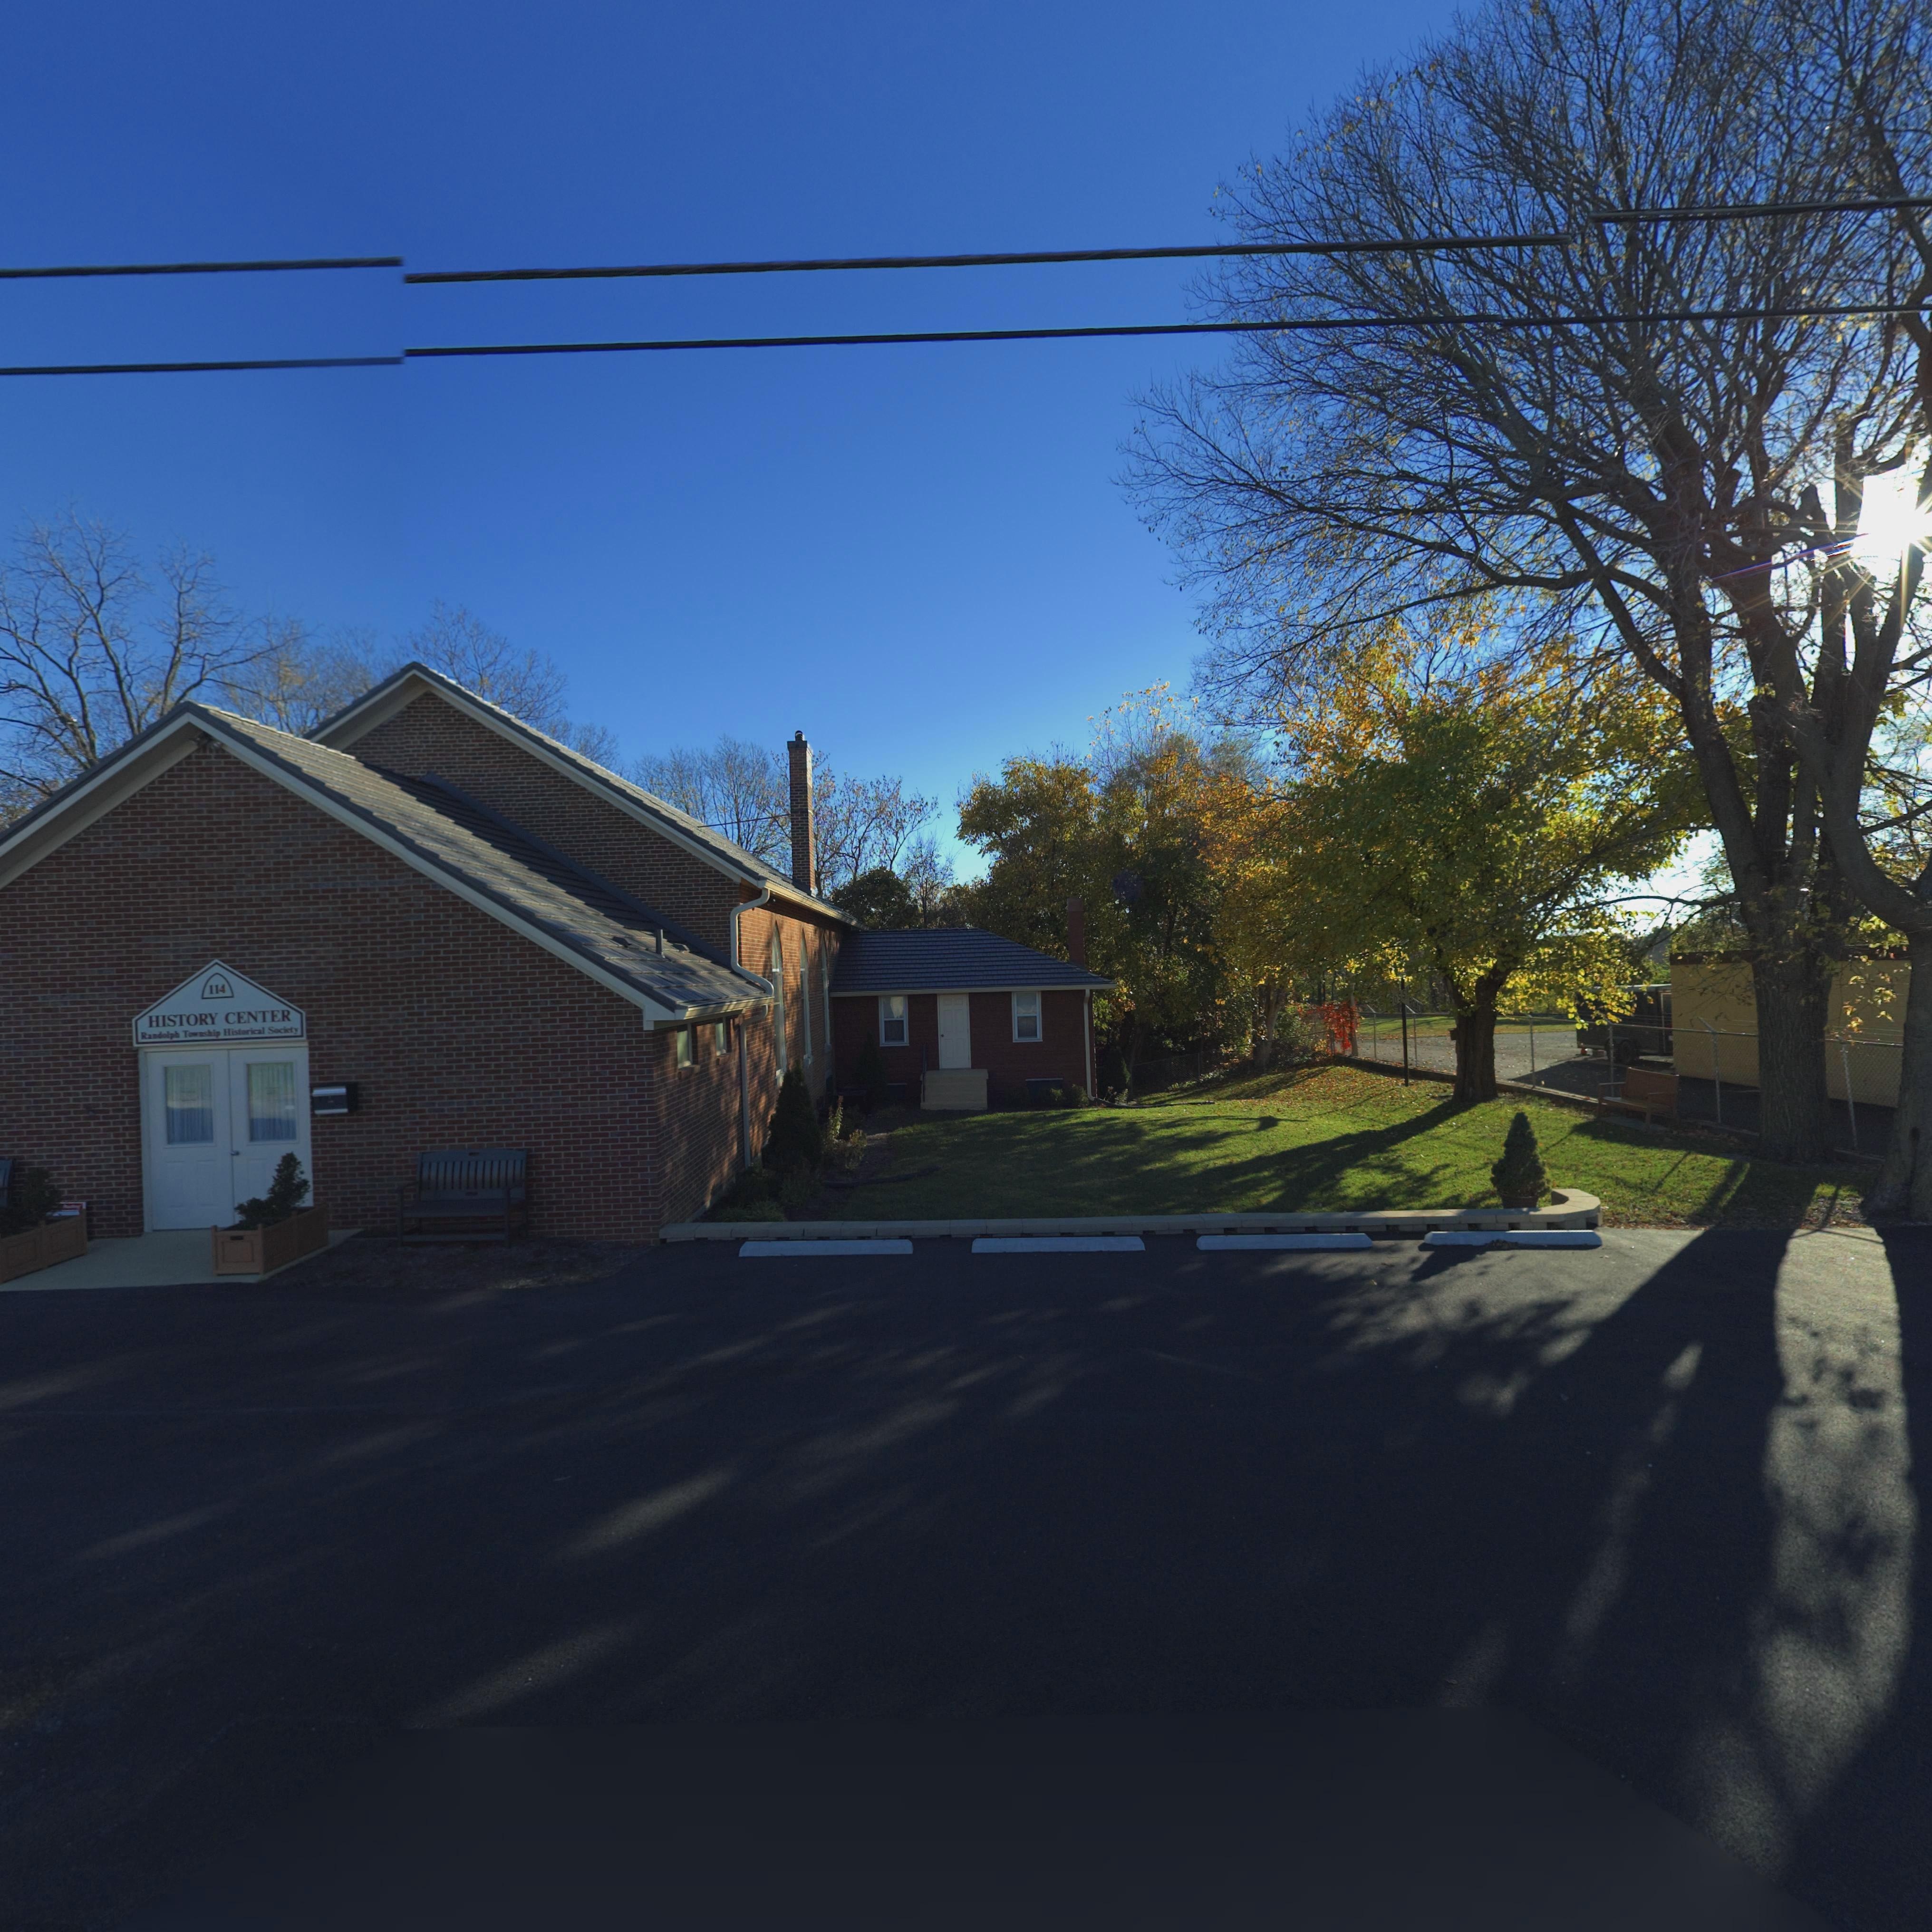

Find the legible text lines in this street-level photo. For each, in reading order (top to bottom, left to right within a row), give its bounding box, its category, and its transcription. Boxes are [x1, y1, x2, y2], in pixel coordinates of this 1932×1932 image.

[208, 983, 226, 995] StreetNumber: 114
[146, 1008, 293, 1029] None: HISTORY CENTER
[137, 1024, 299, 1041] None: Randolph Township Historical Society